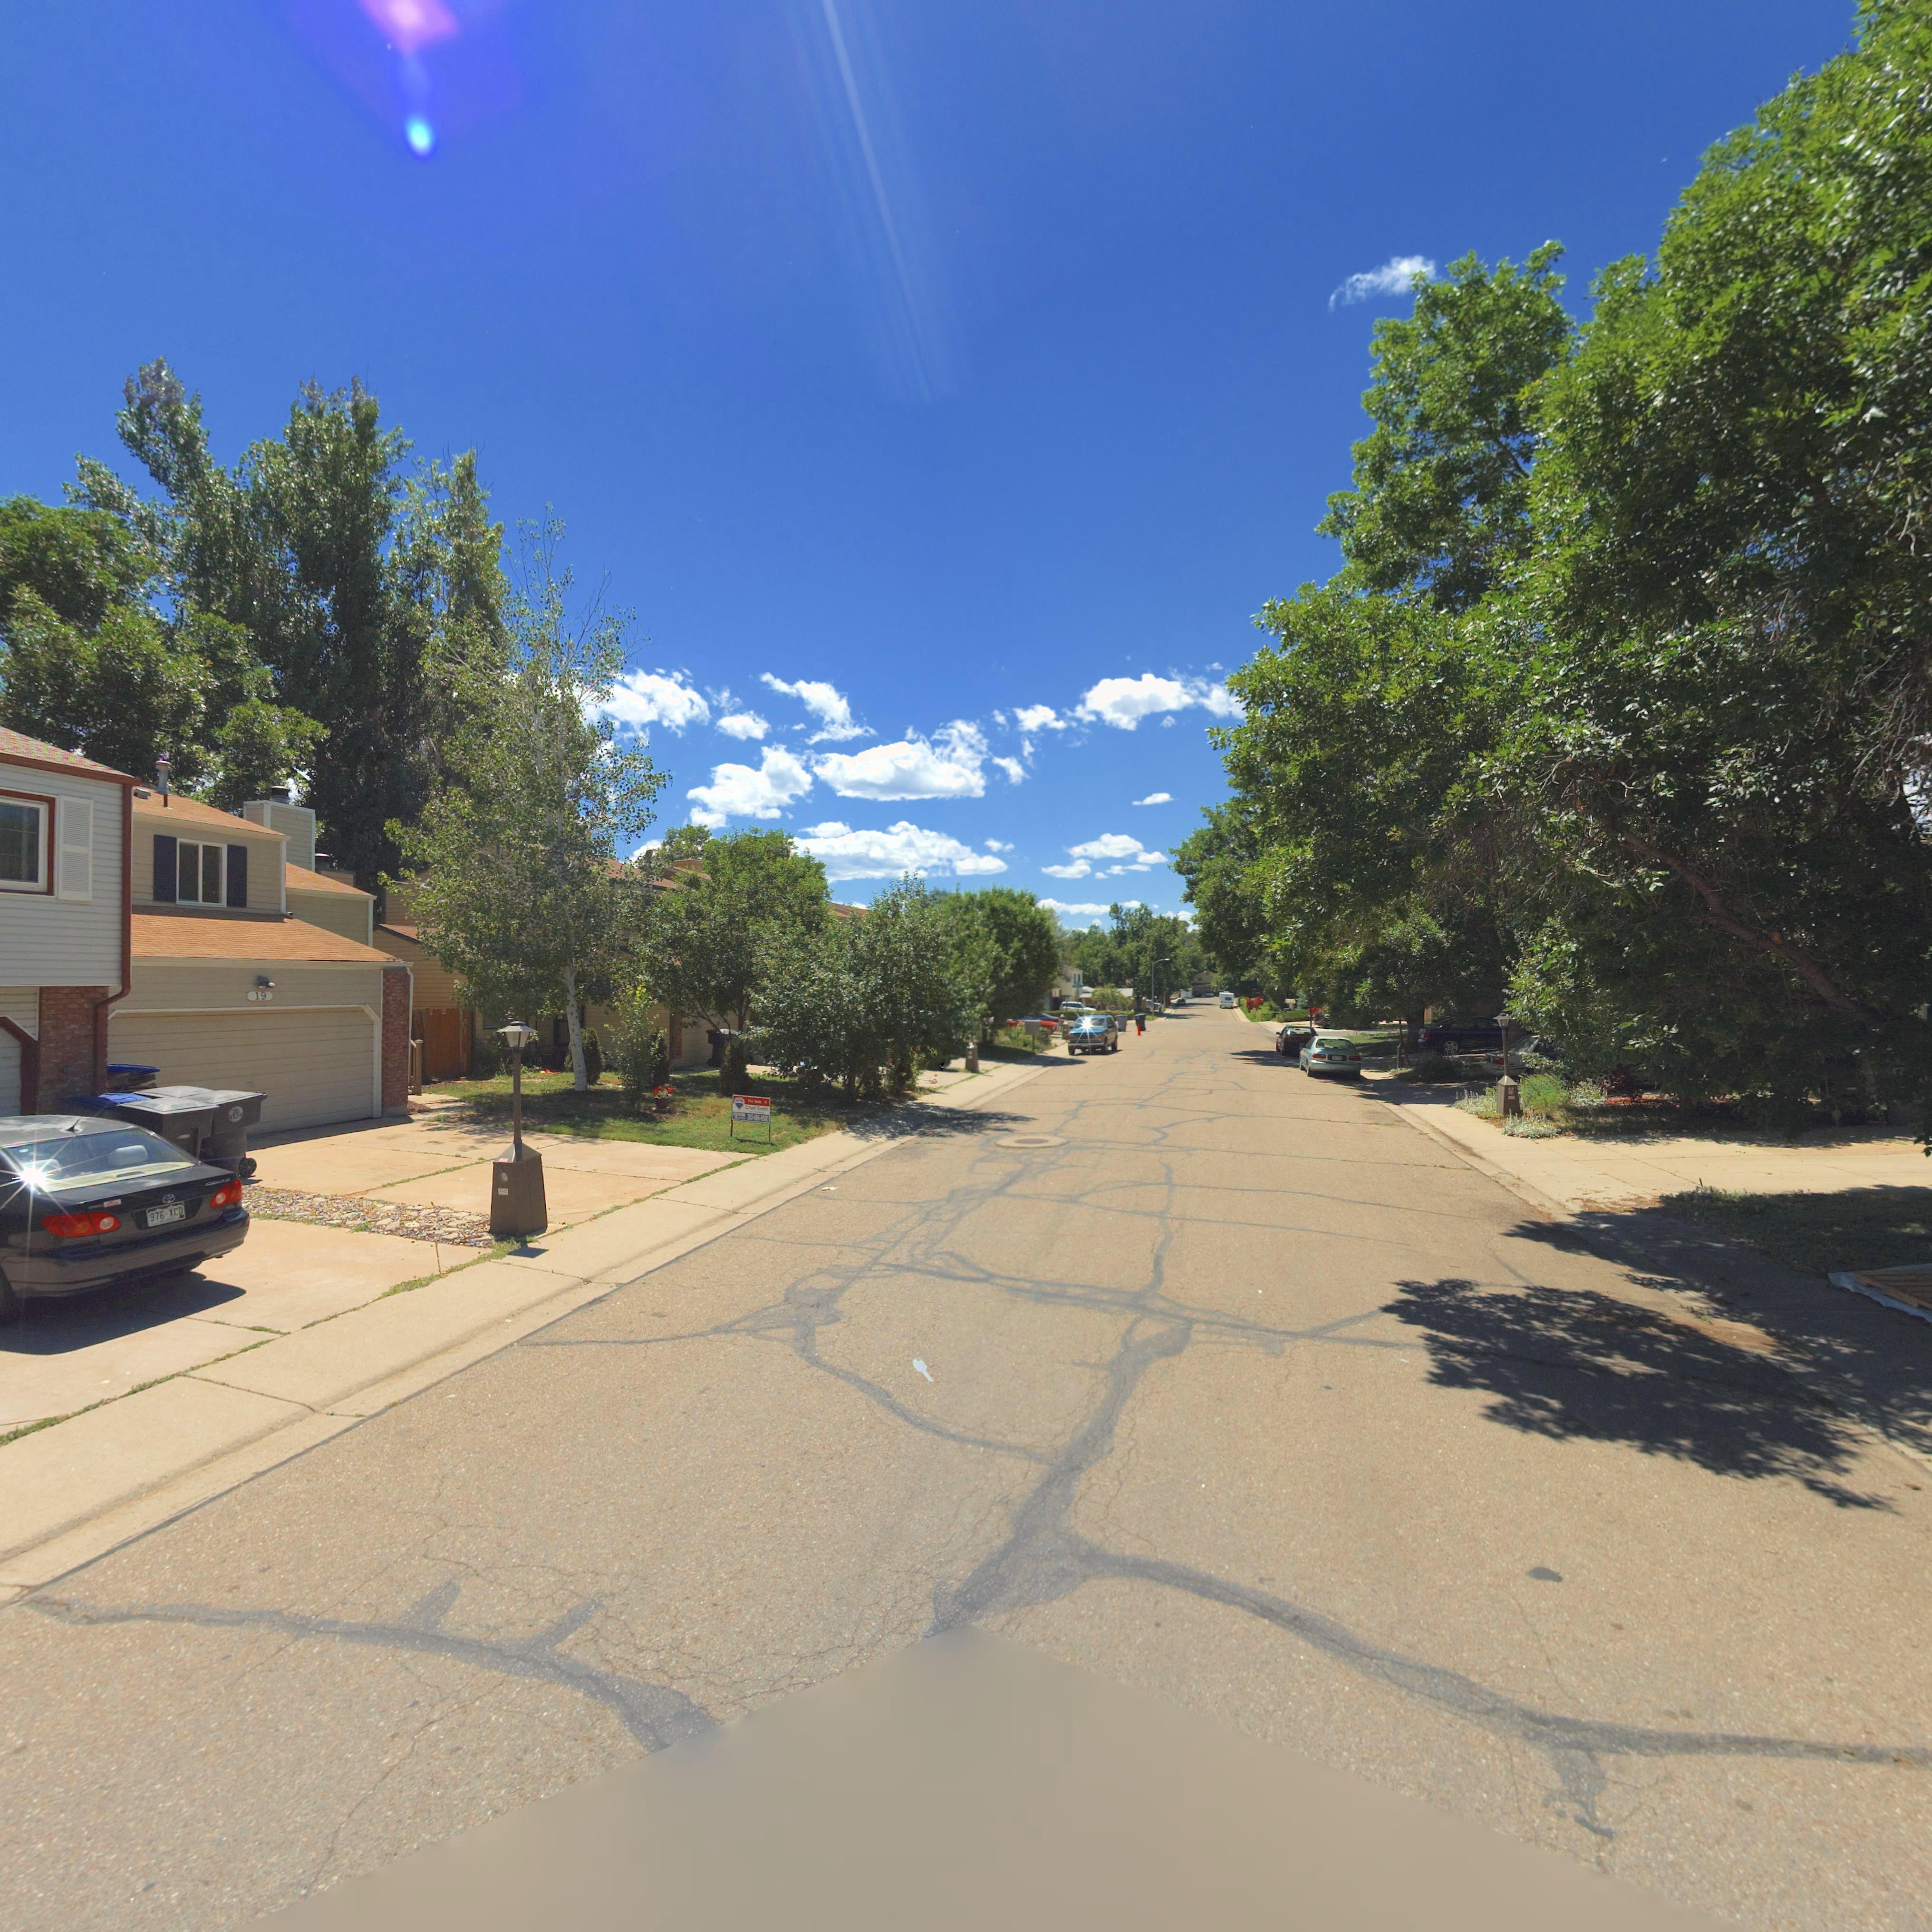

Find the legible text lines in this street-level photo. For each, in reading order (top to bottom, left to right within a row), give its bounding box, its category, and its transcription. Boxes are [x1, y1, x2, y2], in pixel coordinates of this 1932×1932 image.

[255, 991, 266, 1000] StreetNumber: 19